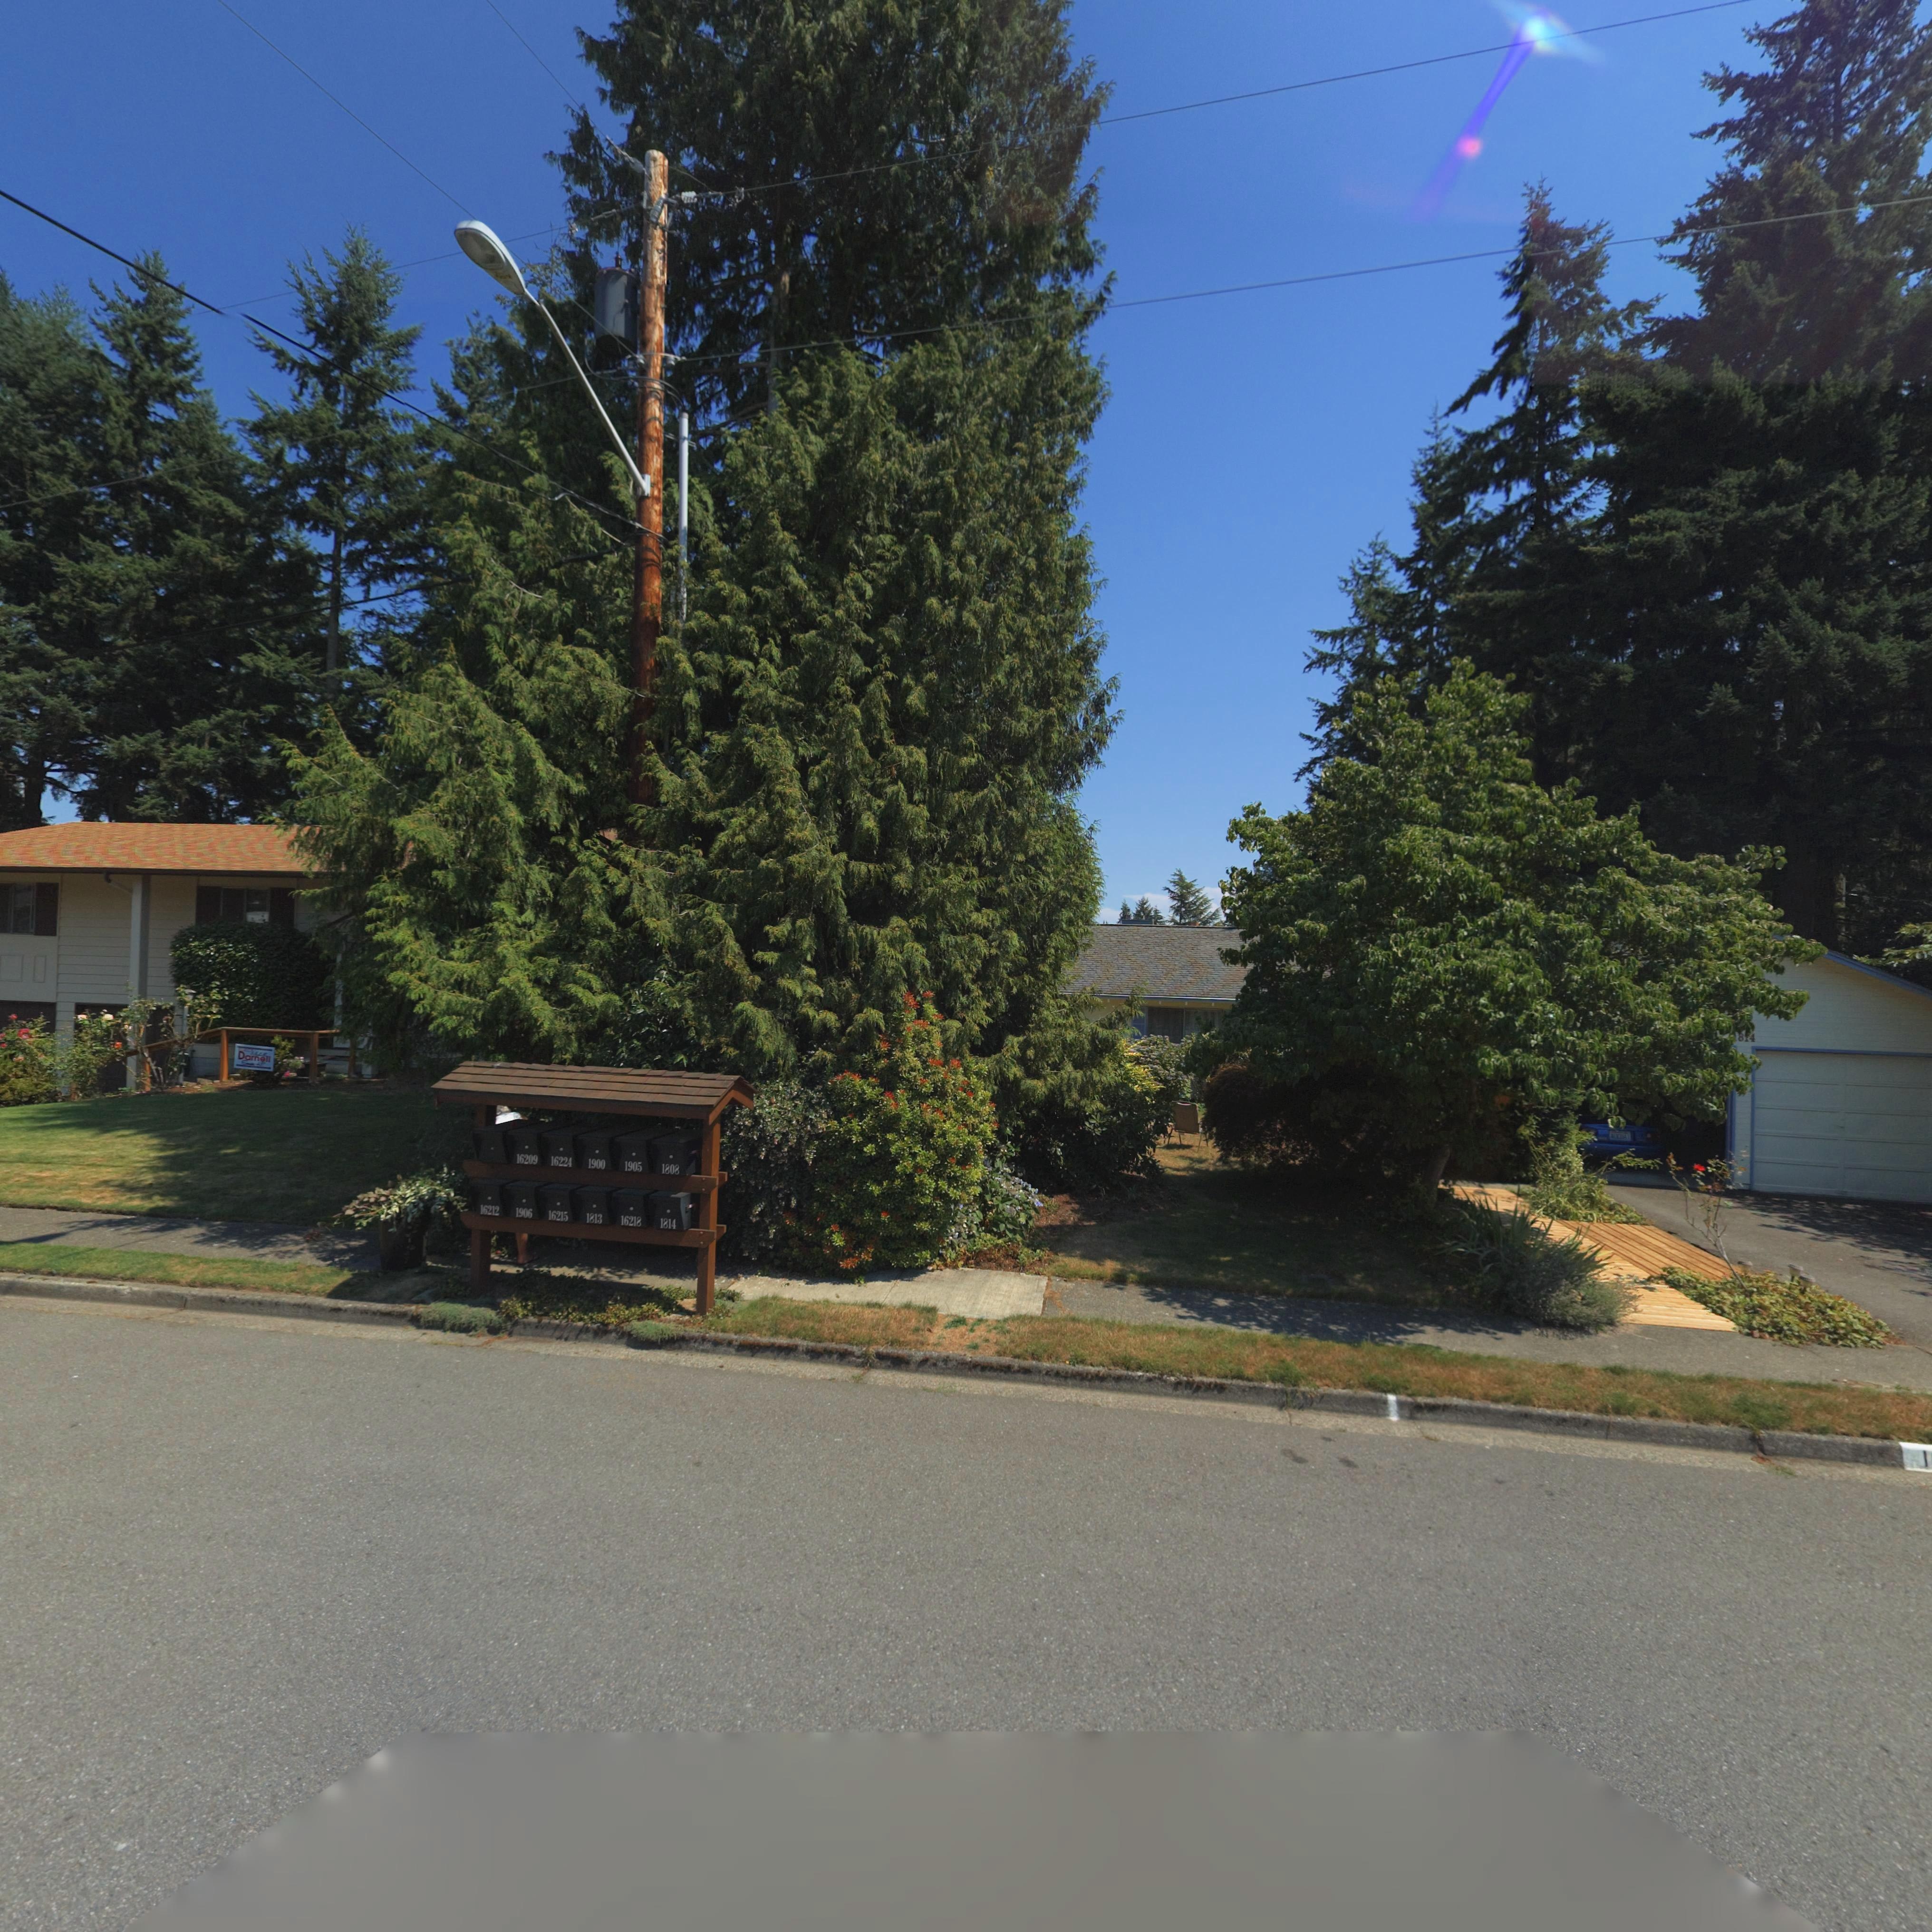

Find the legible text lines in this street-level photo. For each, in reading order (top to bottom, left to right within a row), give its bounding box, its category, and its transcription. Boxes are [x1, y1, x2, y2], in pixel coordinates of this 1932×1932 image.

[516, 1153, 537, 1164] StreetNumber: 16209
[550, 1155, 573, 1168] StreetNumber: 16224
[589, 1157, 606, 1170] StreetNumber: 1900
[625, 1160, 642, 1172] StreetNumber: 1905
[662, 1163, 680, 1175] StreetNumber: 1808
[480, 1205, 499, 1216] StreetNumber: 16212
[515, 1207, 533, 1218] StreetNumber: 1906
[548, 1210, 569, 1221] StreetNumber: 16215
[586, 1213, 602, 1224] StreetNumber: 1813
[621, 1215, 641, 1226] StreetNumber: 16218
[660, 1218, 676, 1229] StreetNumber: 1814